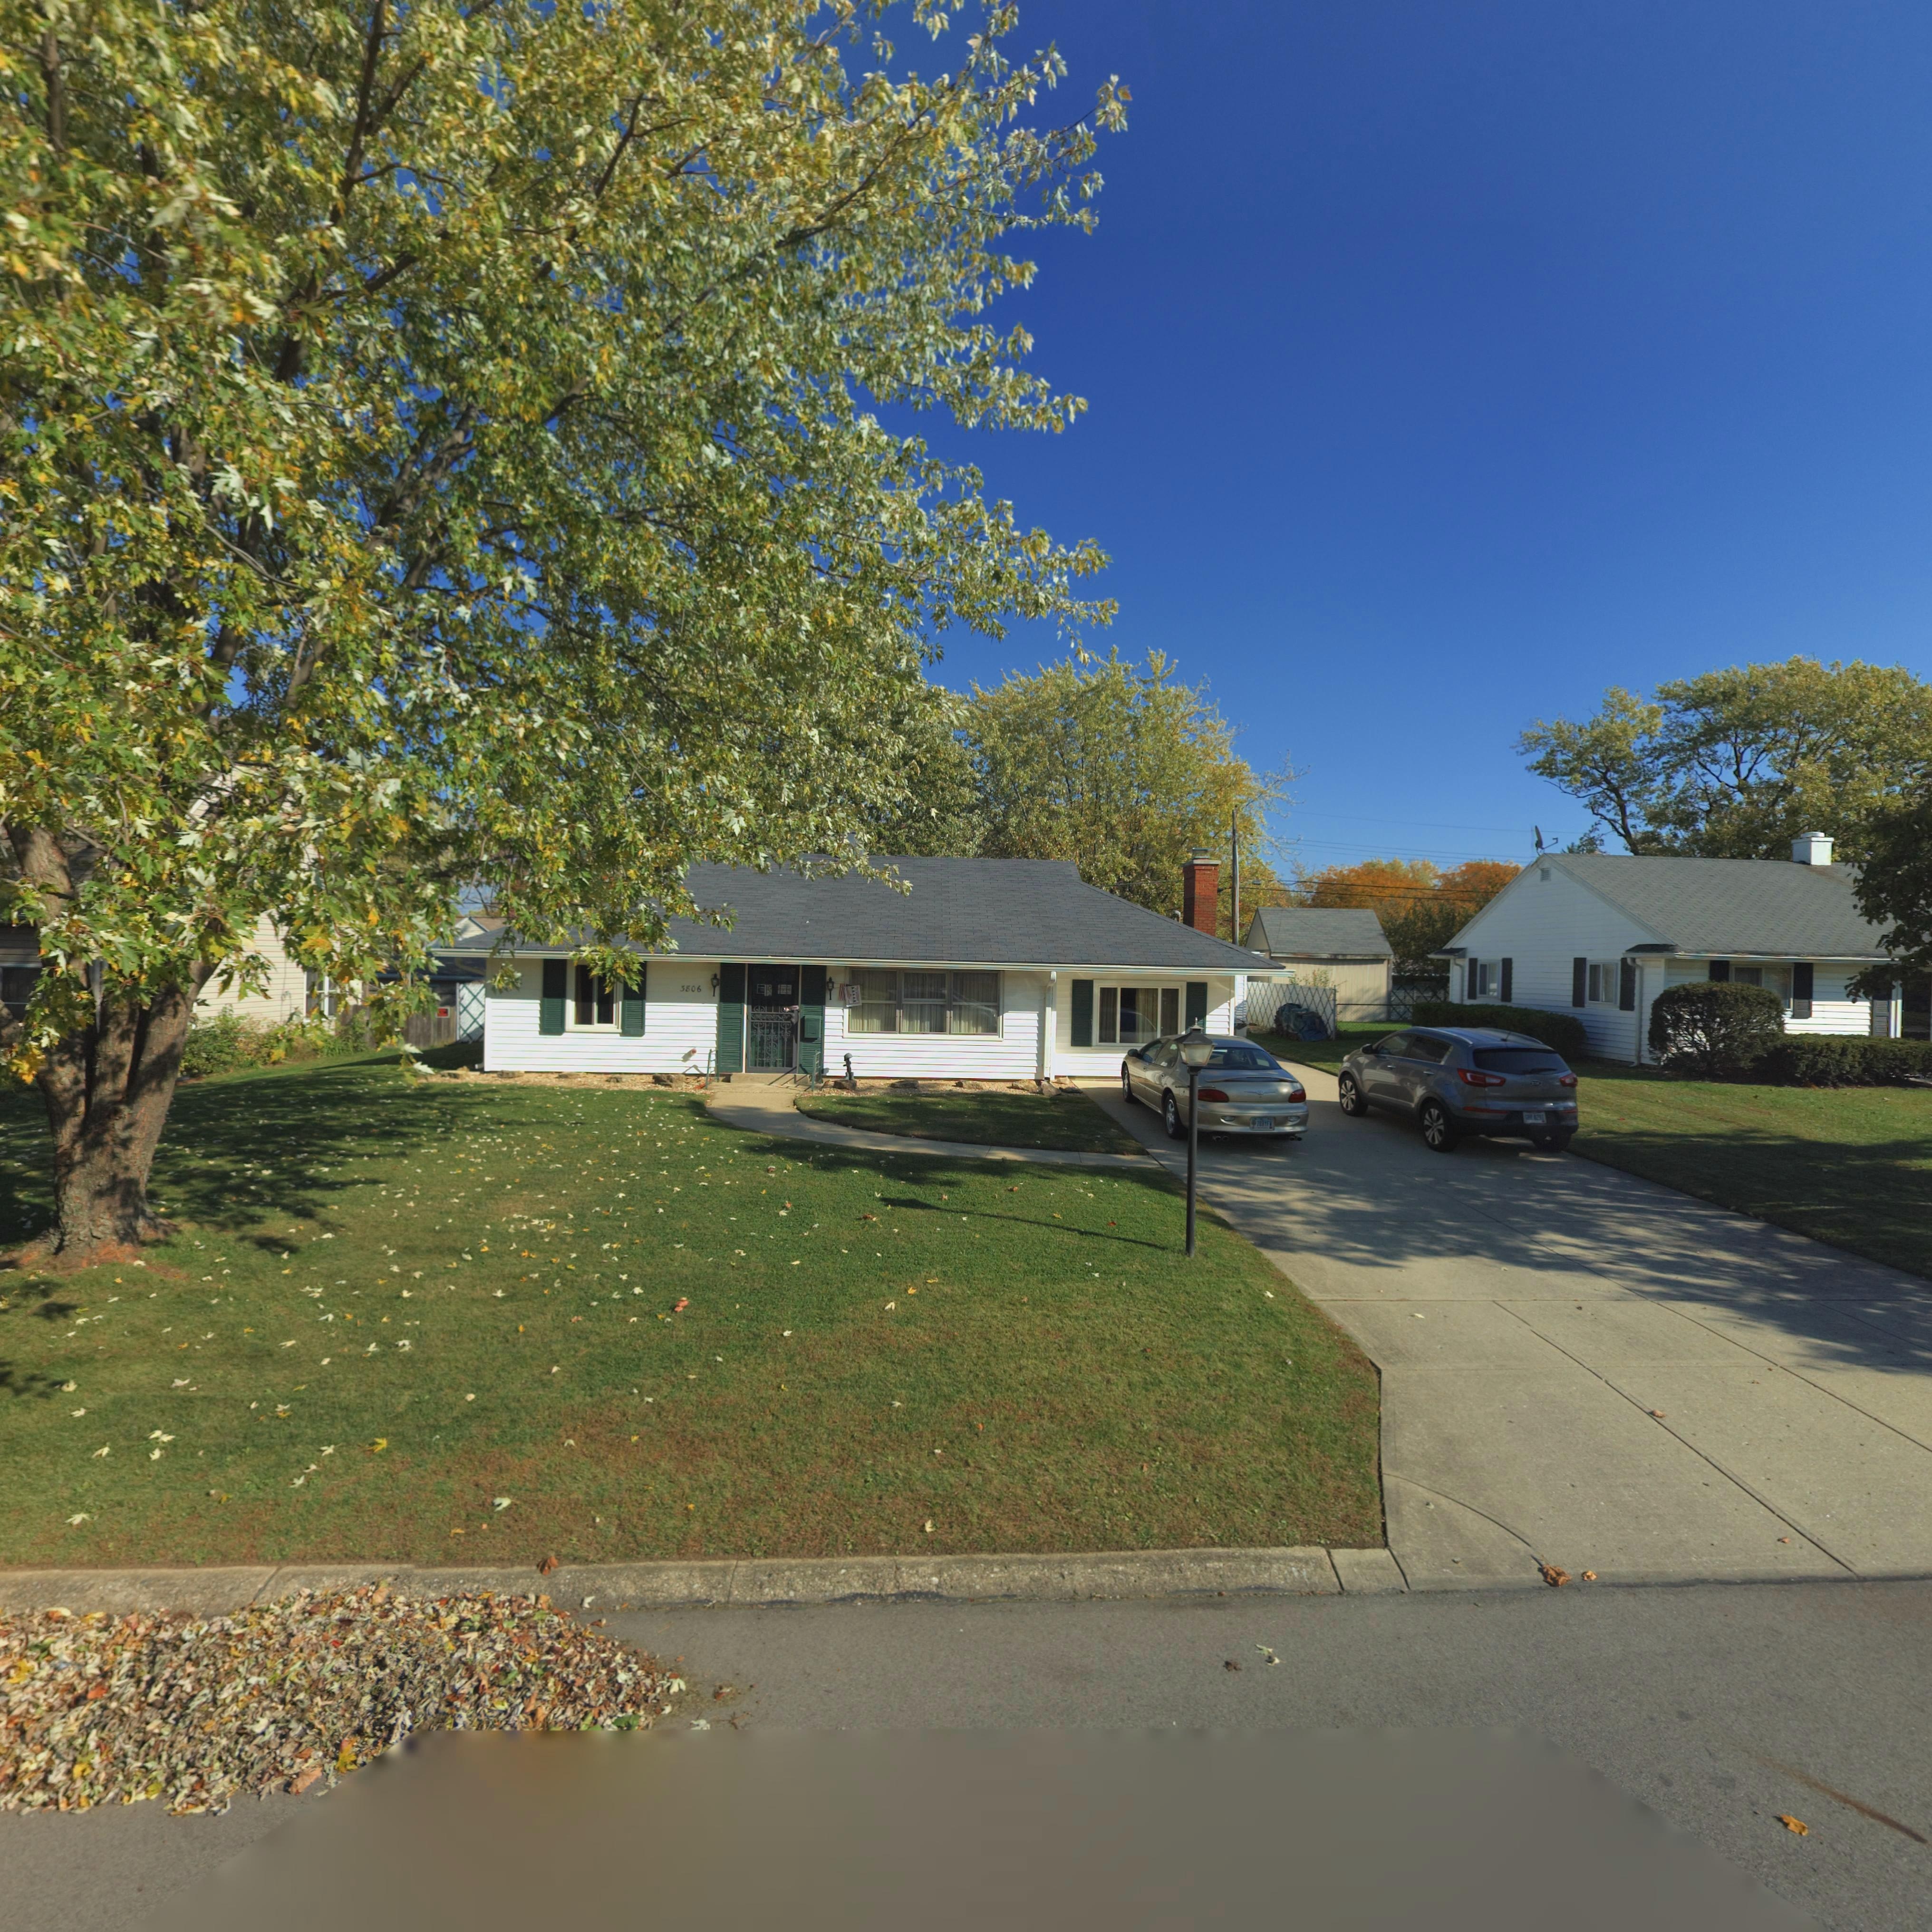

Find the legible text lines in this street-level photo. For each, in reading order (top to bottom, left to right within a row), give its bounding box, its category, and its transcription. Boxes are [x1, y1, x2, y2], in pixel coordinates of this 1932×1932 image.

[679, 984, 703, 993] StreetNumber: 3806